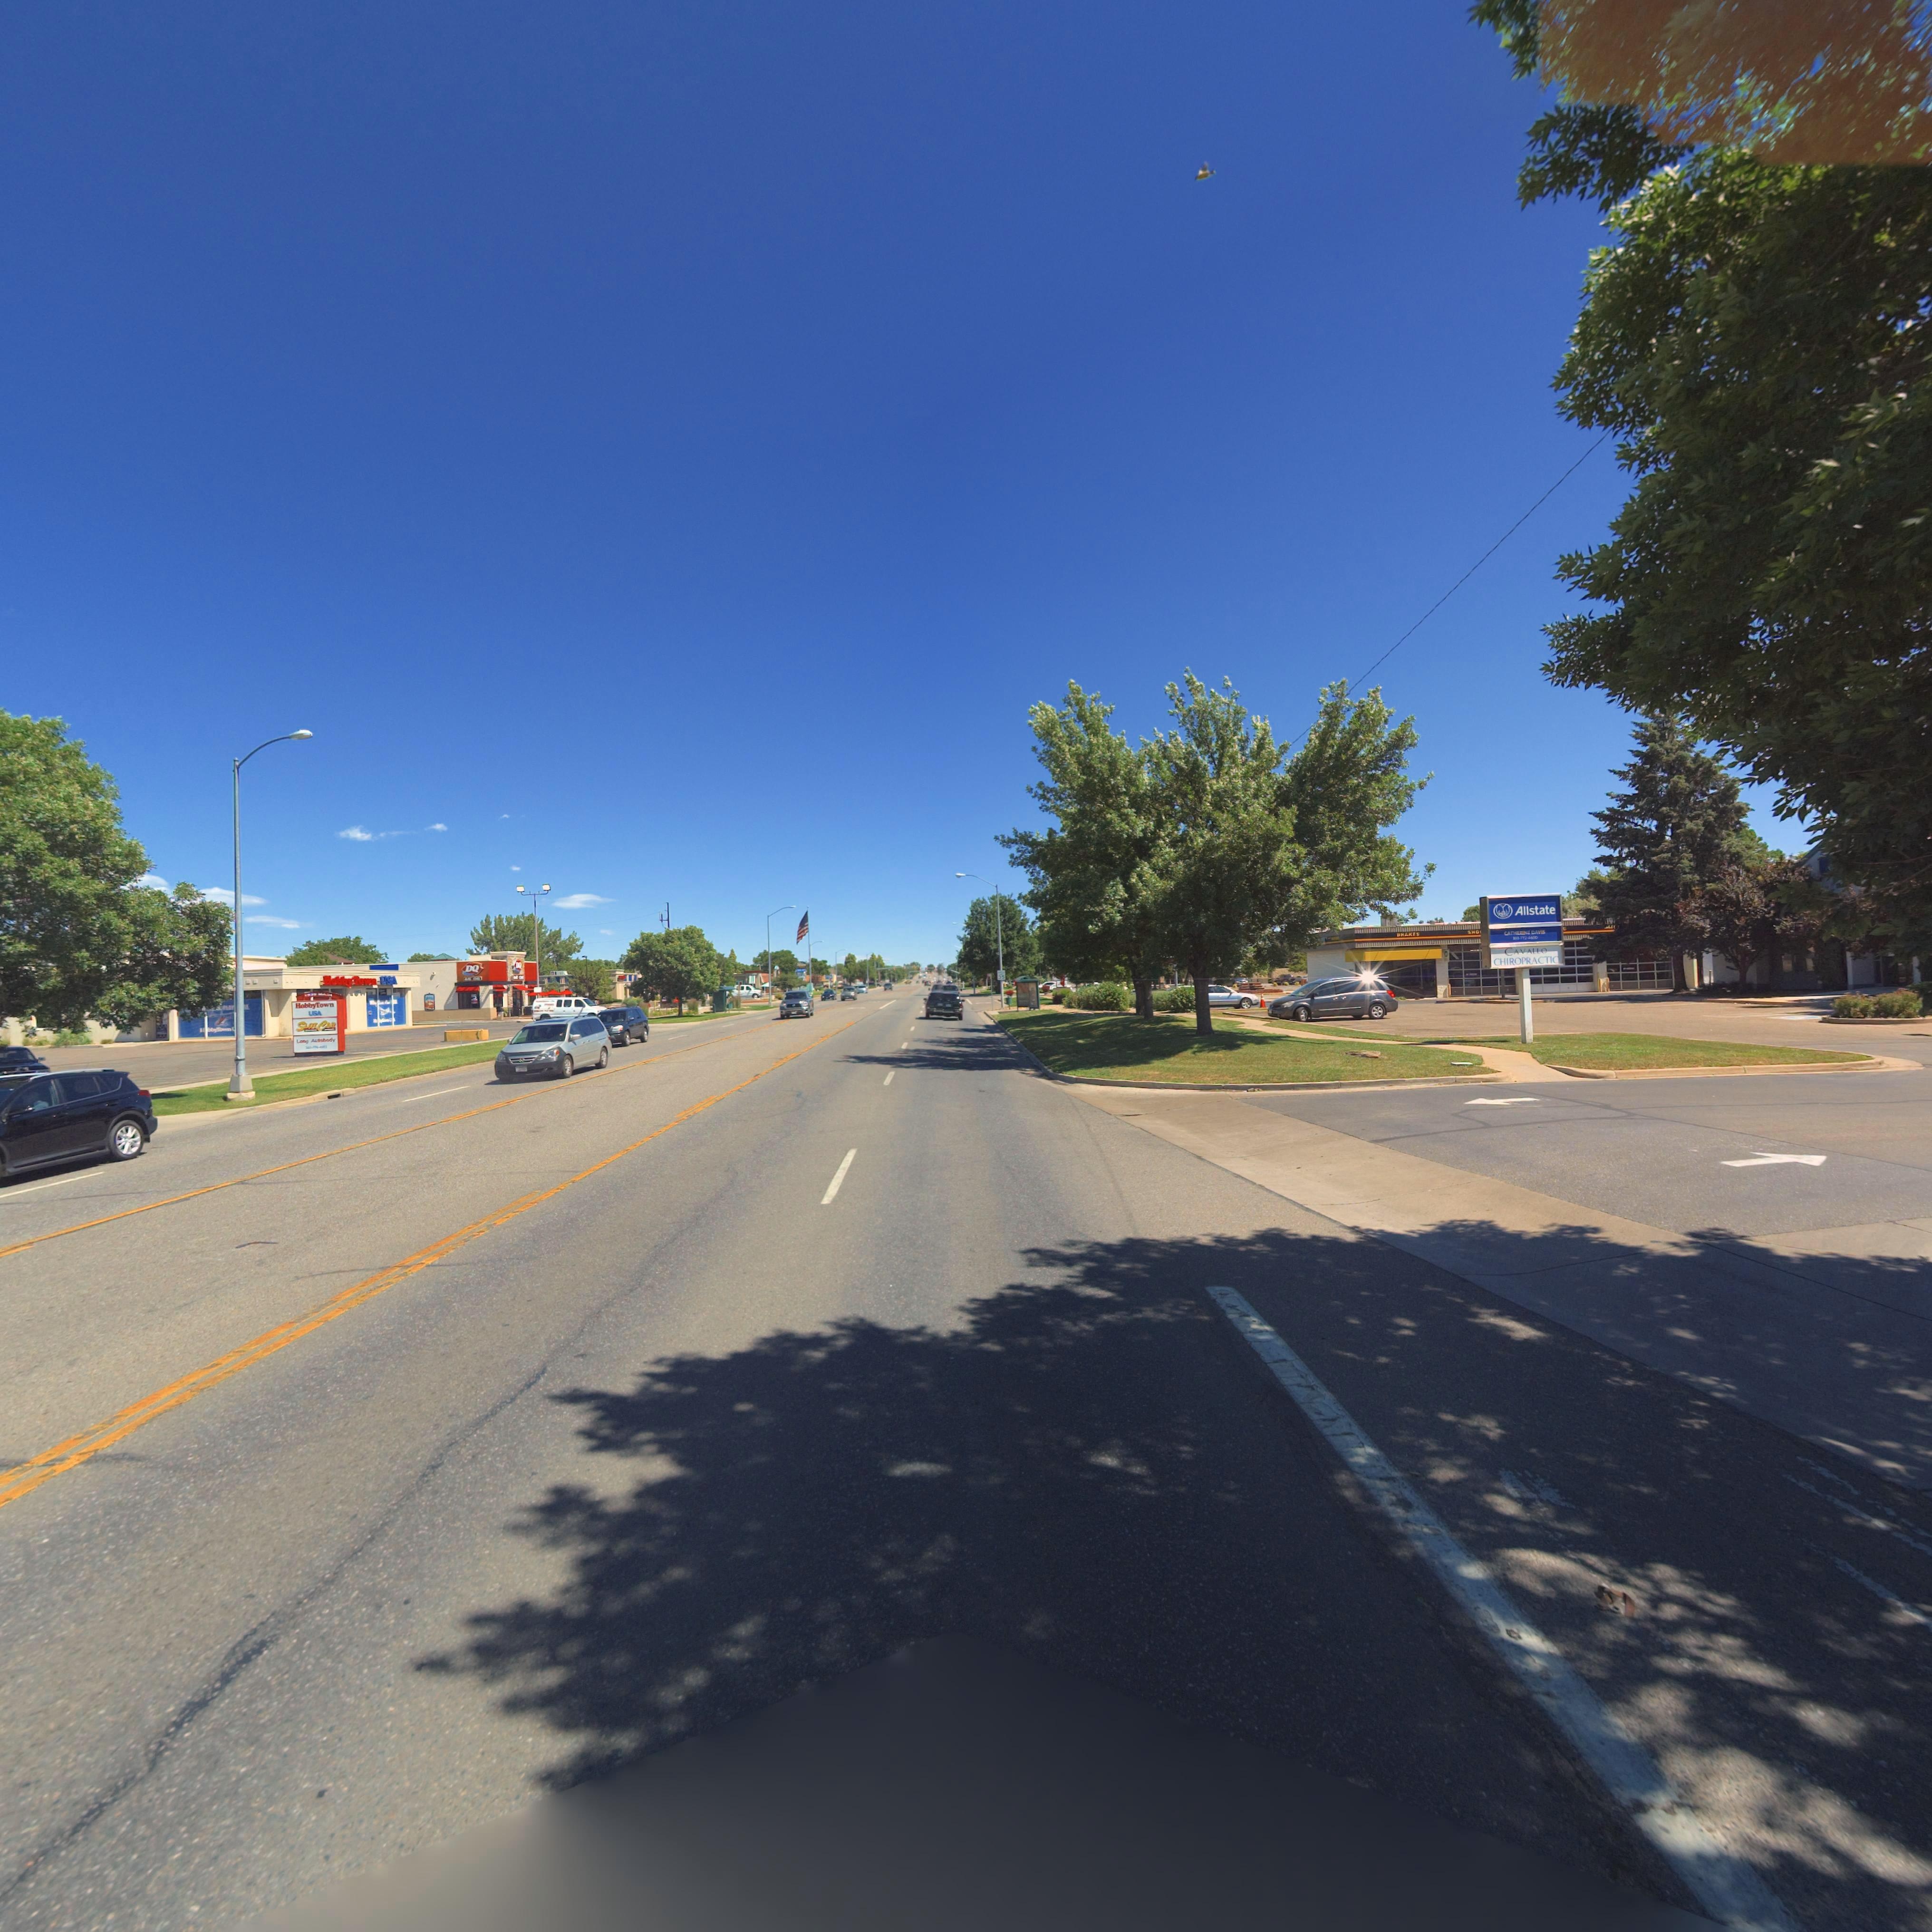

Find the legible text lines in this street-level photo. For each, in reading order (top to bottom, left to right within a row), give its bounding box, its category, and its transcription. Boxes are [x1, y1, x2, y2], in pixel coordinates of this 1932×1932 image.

[1514, 904, 1556, 916] BusinessName: Allstate
[1504, 947, 1548, 956] BusinessName: CAVALLO
[1493, 955, 1559, 966] BusinessName: CHIROPRACTIC
[464, 965, 479, 973] BusinessName: DQ
[515, 961, 522, 968] BusinessName: DQ
[322, 975, 398, 988] BusinessName: HobbyTown USA
[304, 993, 318, 997] StreetNumber: 193*
[318, 992, 333, 997] StreetName: MA**
[295, 1002, 334, 1009] BusinessName: HobbyTown
[308, 1010, 322, 1016] BusinessName: USA
[295, 1019, 337, 1032] BusinessName: SLOTCAR
[296, 1036, 336, 1044] BusinessName: Lo*g A*t*body